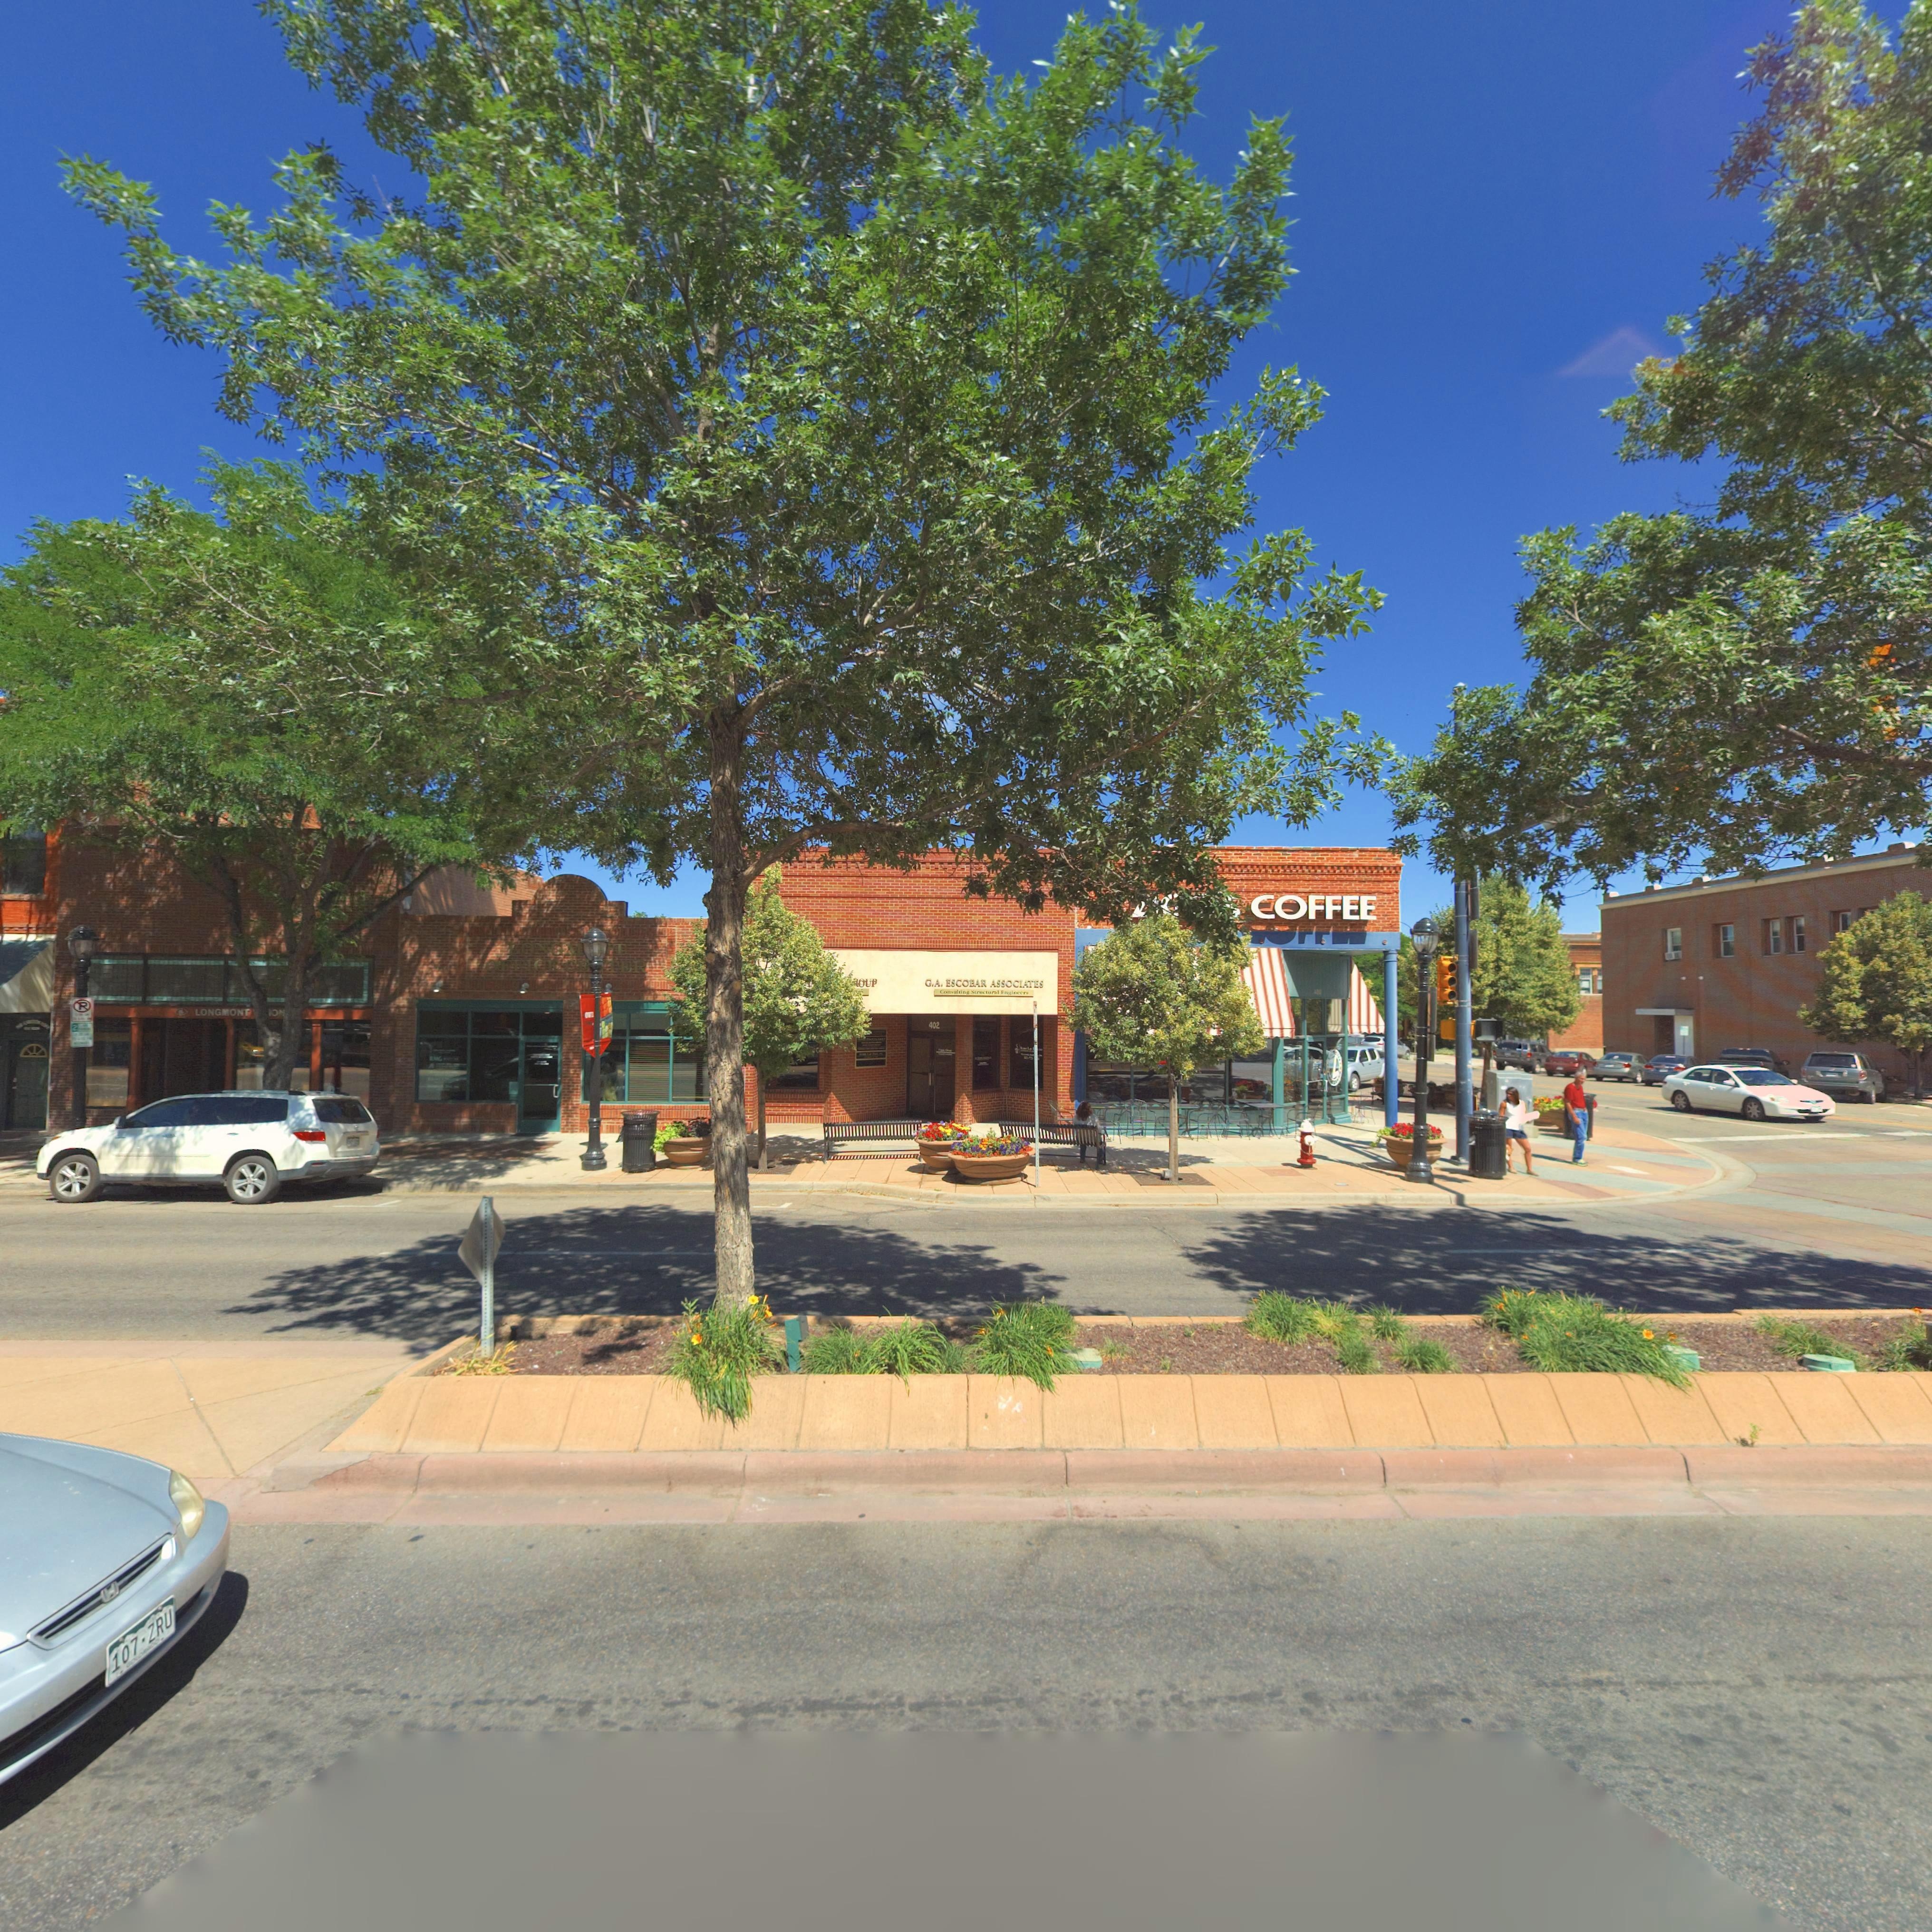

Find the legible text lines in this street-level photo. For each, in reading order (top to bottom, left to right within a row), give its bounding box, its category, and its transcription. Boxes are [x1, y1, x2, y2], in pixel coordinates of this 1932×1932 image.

[1251, 893, 1378, 920] BusinessName: COFFEE
[853, 977, 878, 987] BusinessName: *OUP
[925, 978, 1044, 988] BusinessName: G.A. ESCOBAR ASSOCIATES
[1314, 989, 1322, 995] StreetNumber: 400
[193, 1007, 286, 1017] BusinessName: LONGMONT ION
[928, 1021, 940, 1029] StreetNumber: 402